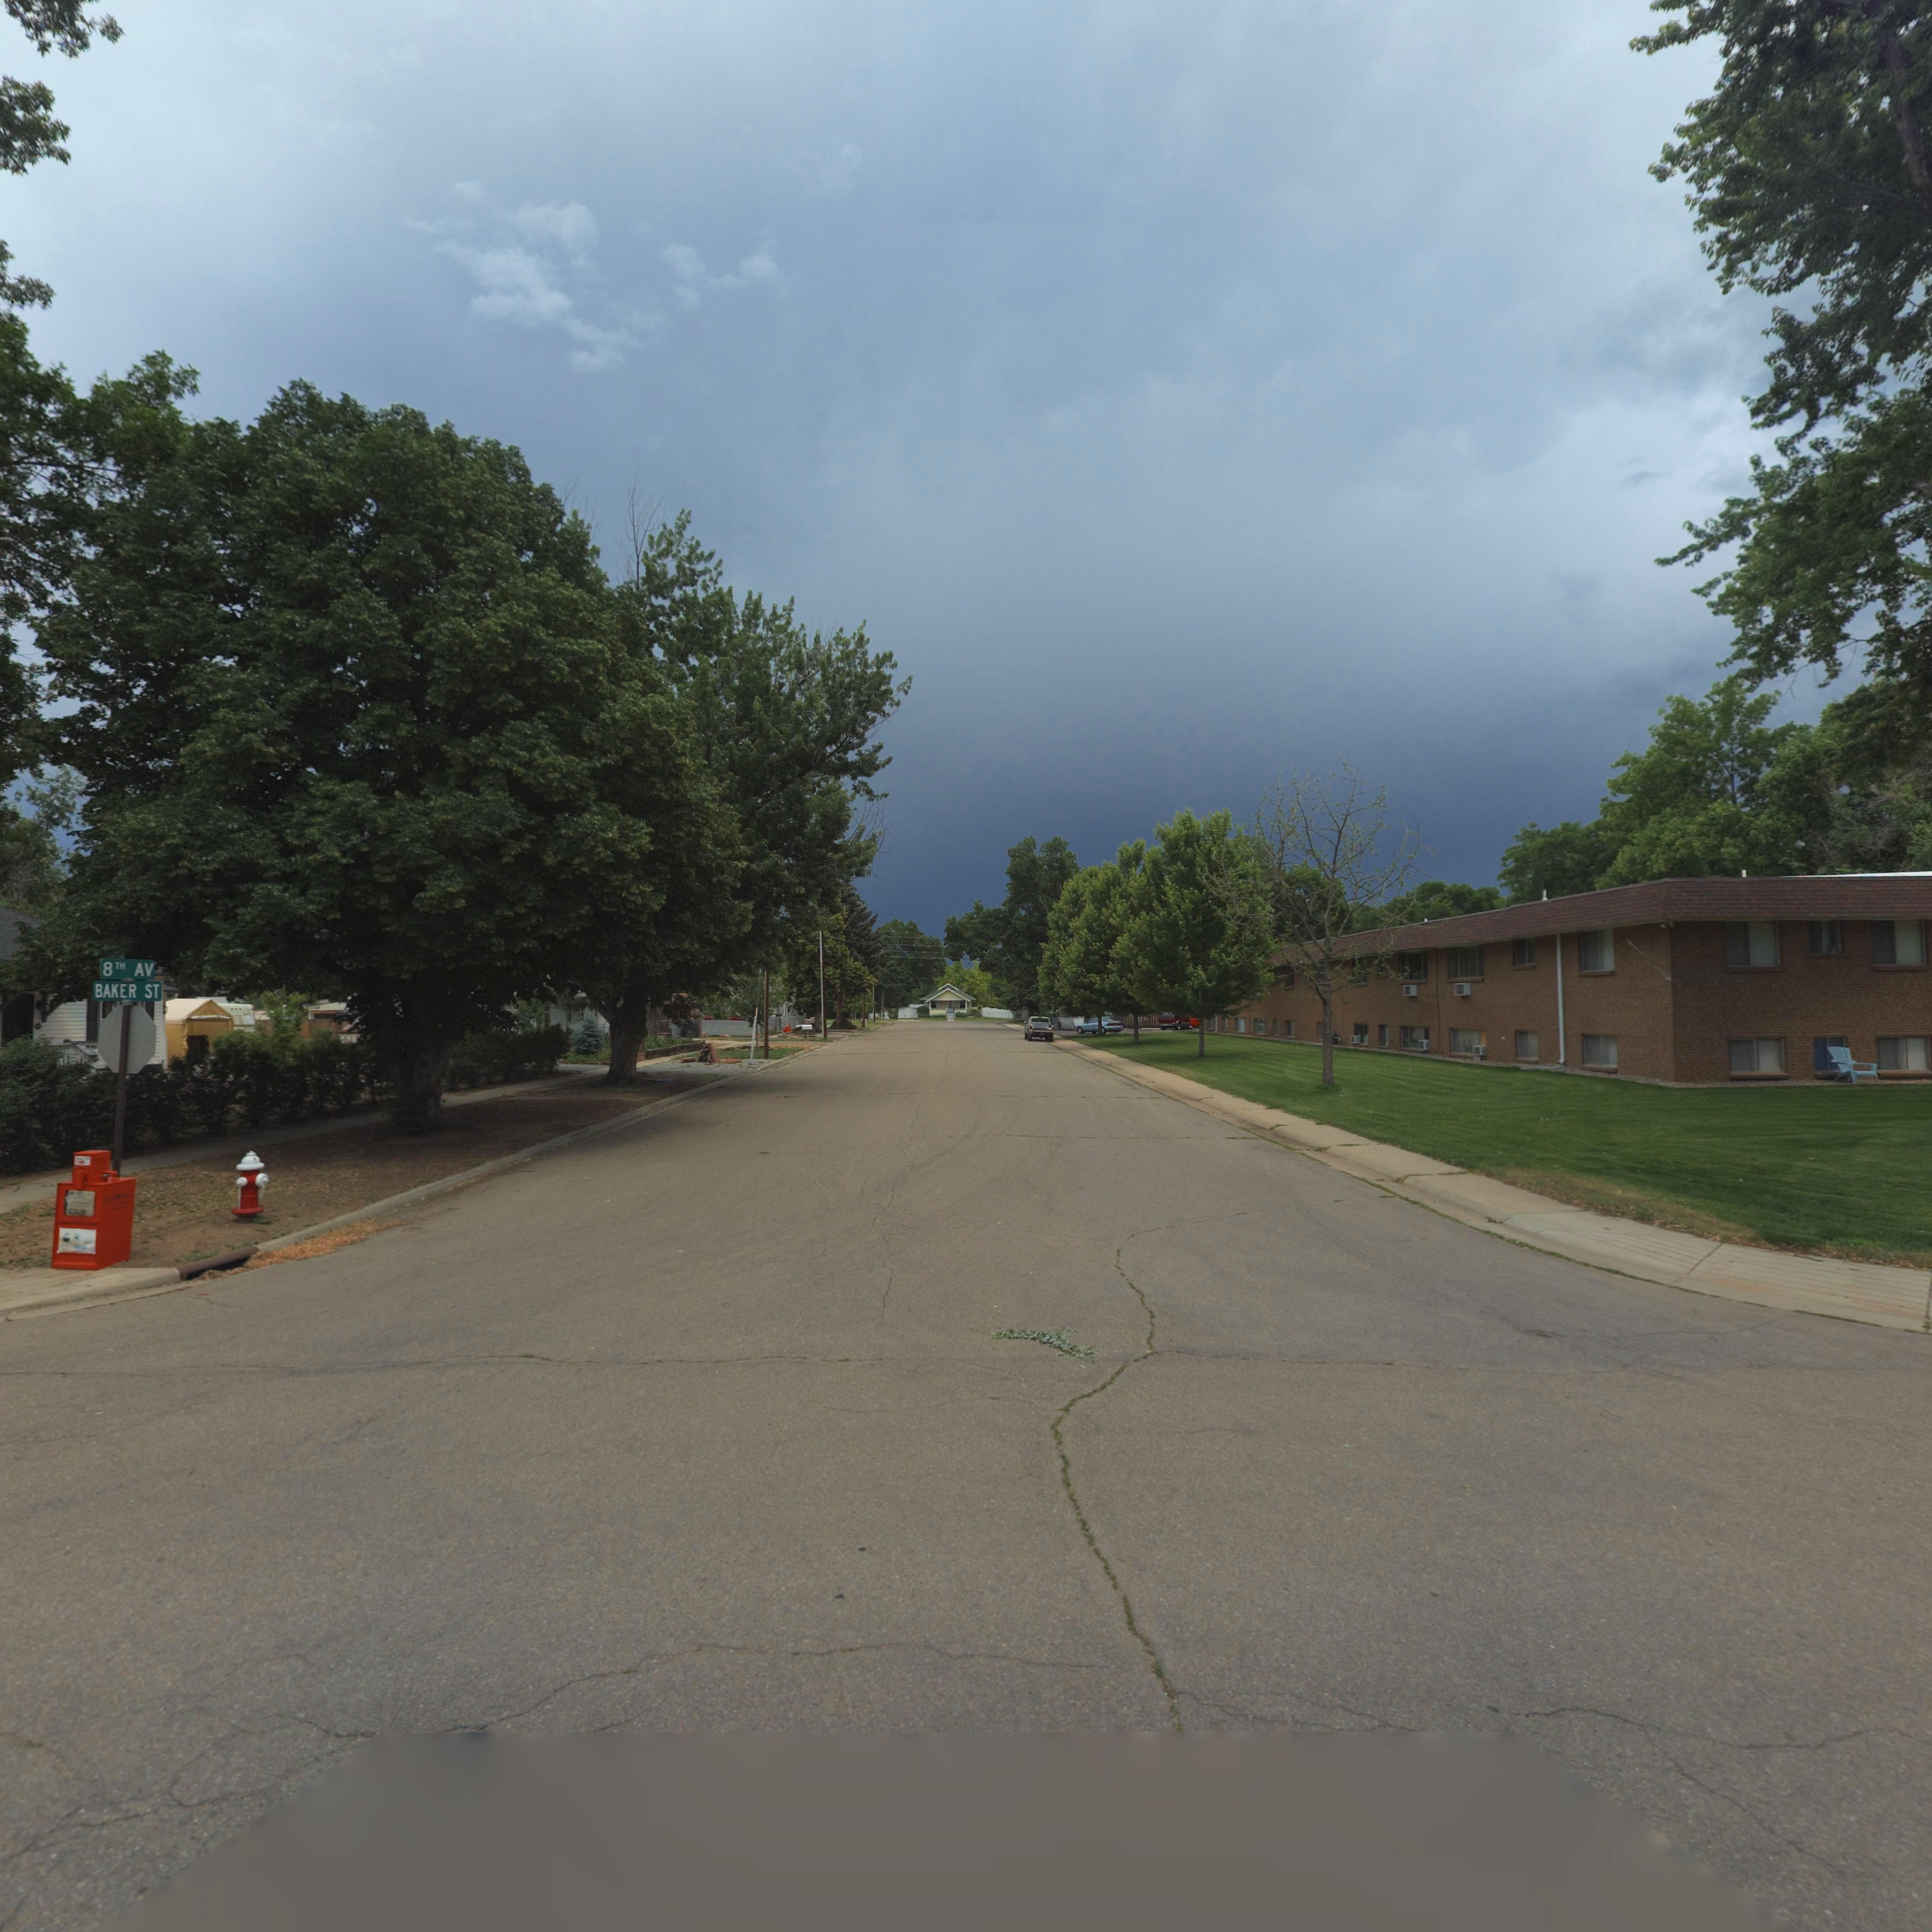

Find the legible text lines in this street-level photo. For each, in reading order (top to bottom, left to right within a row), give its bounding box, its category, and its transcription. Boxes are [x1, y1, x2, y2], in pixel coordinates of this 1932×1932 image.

[102, 961, 155, 977] StreetName: 8TH AV
[94, 983, 161, 999] StreetName: BAKER ST